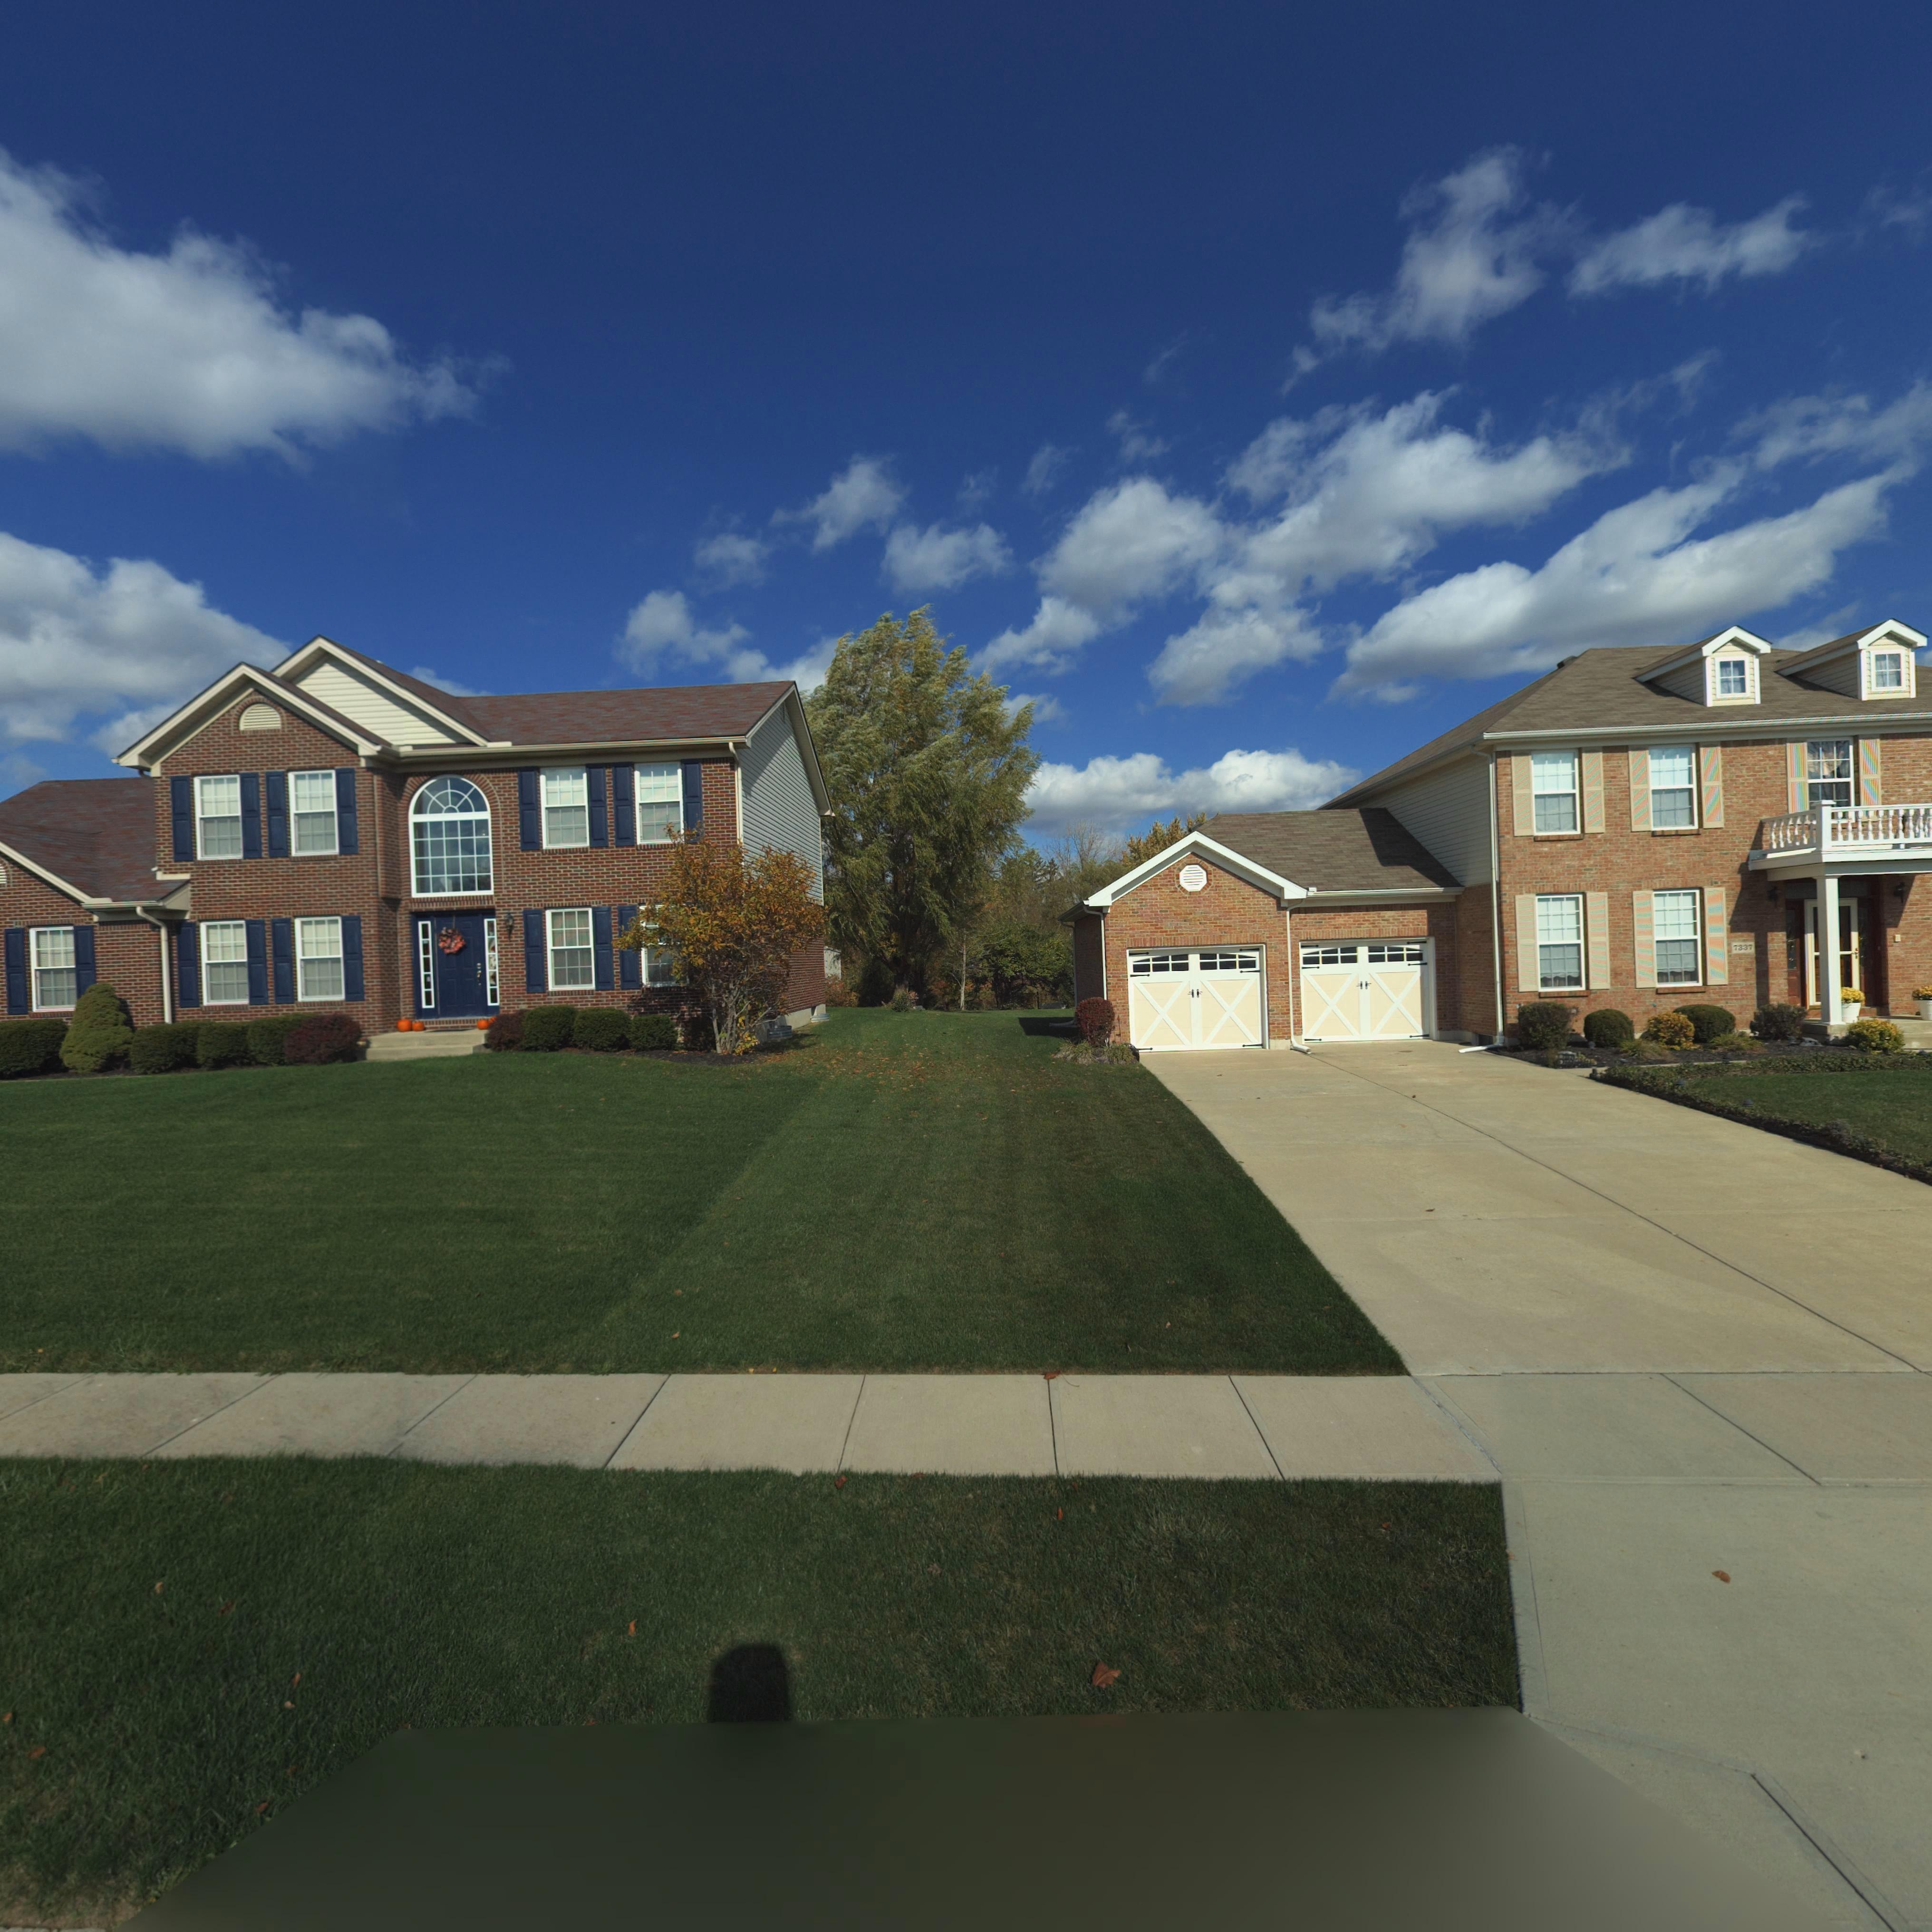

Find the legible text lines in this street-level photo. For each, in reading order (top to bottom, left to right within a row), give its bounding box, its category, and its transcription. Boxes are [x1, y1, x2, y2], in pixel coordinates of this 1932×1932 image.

[1733, 944, 1753, 951] StreetNumber: 7337